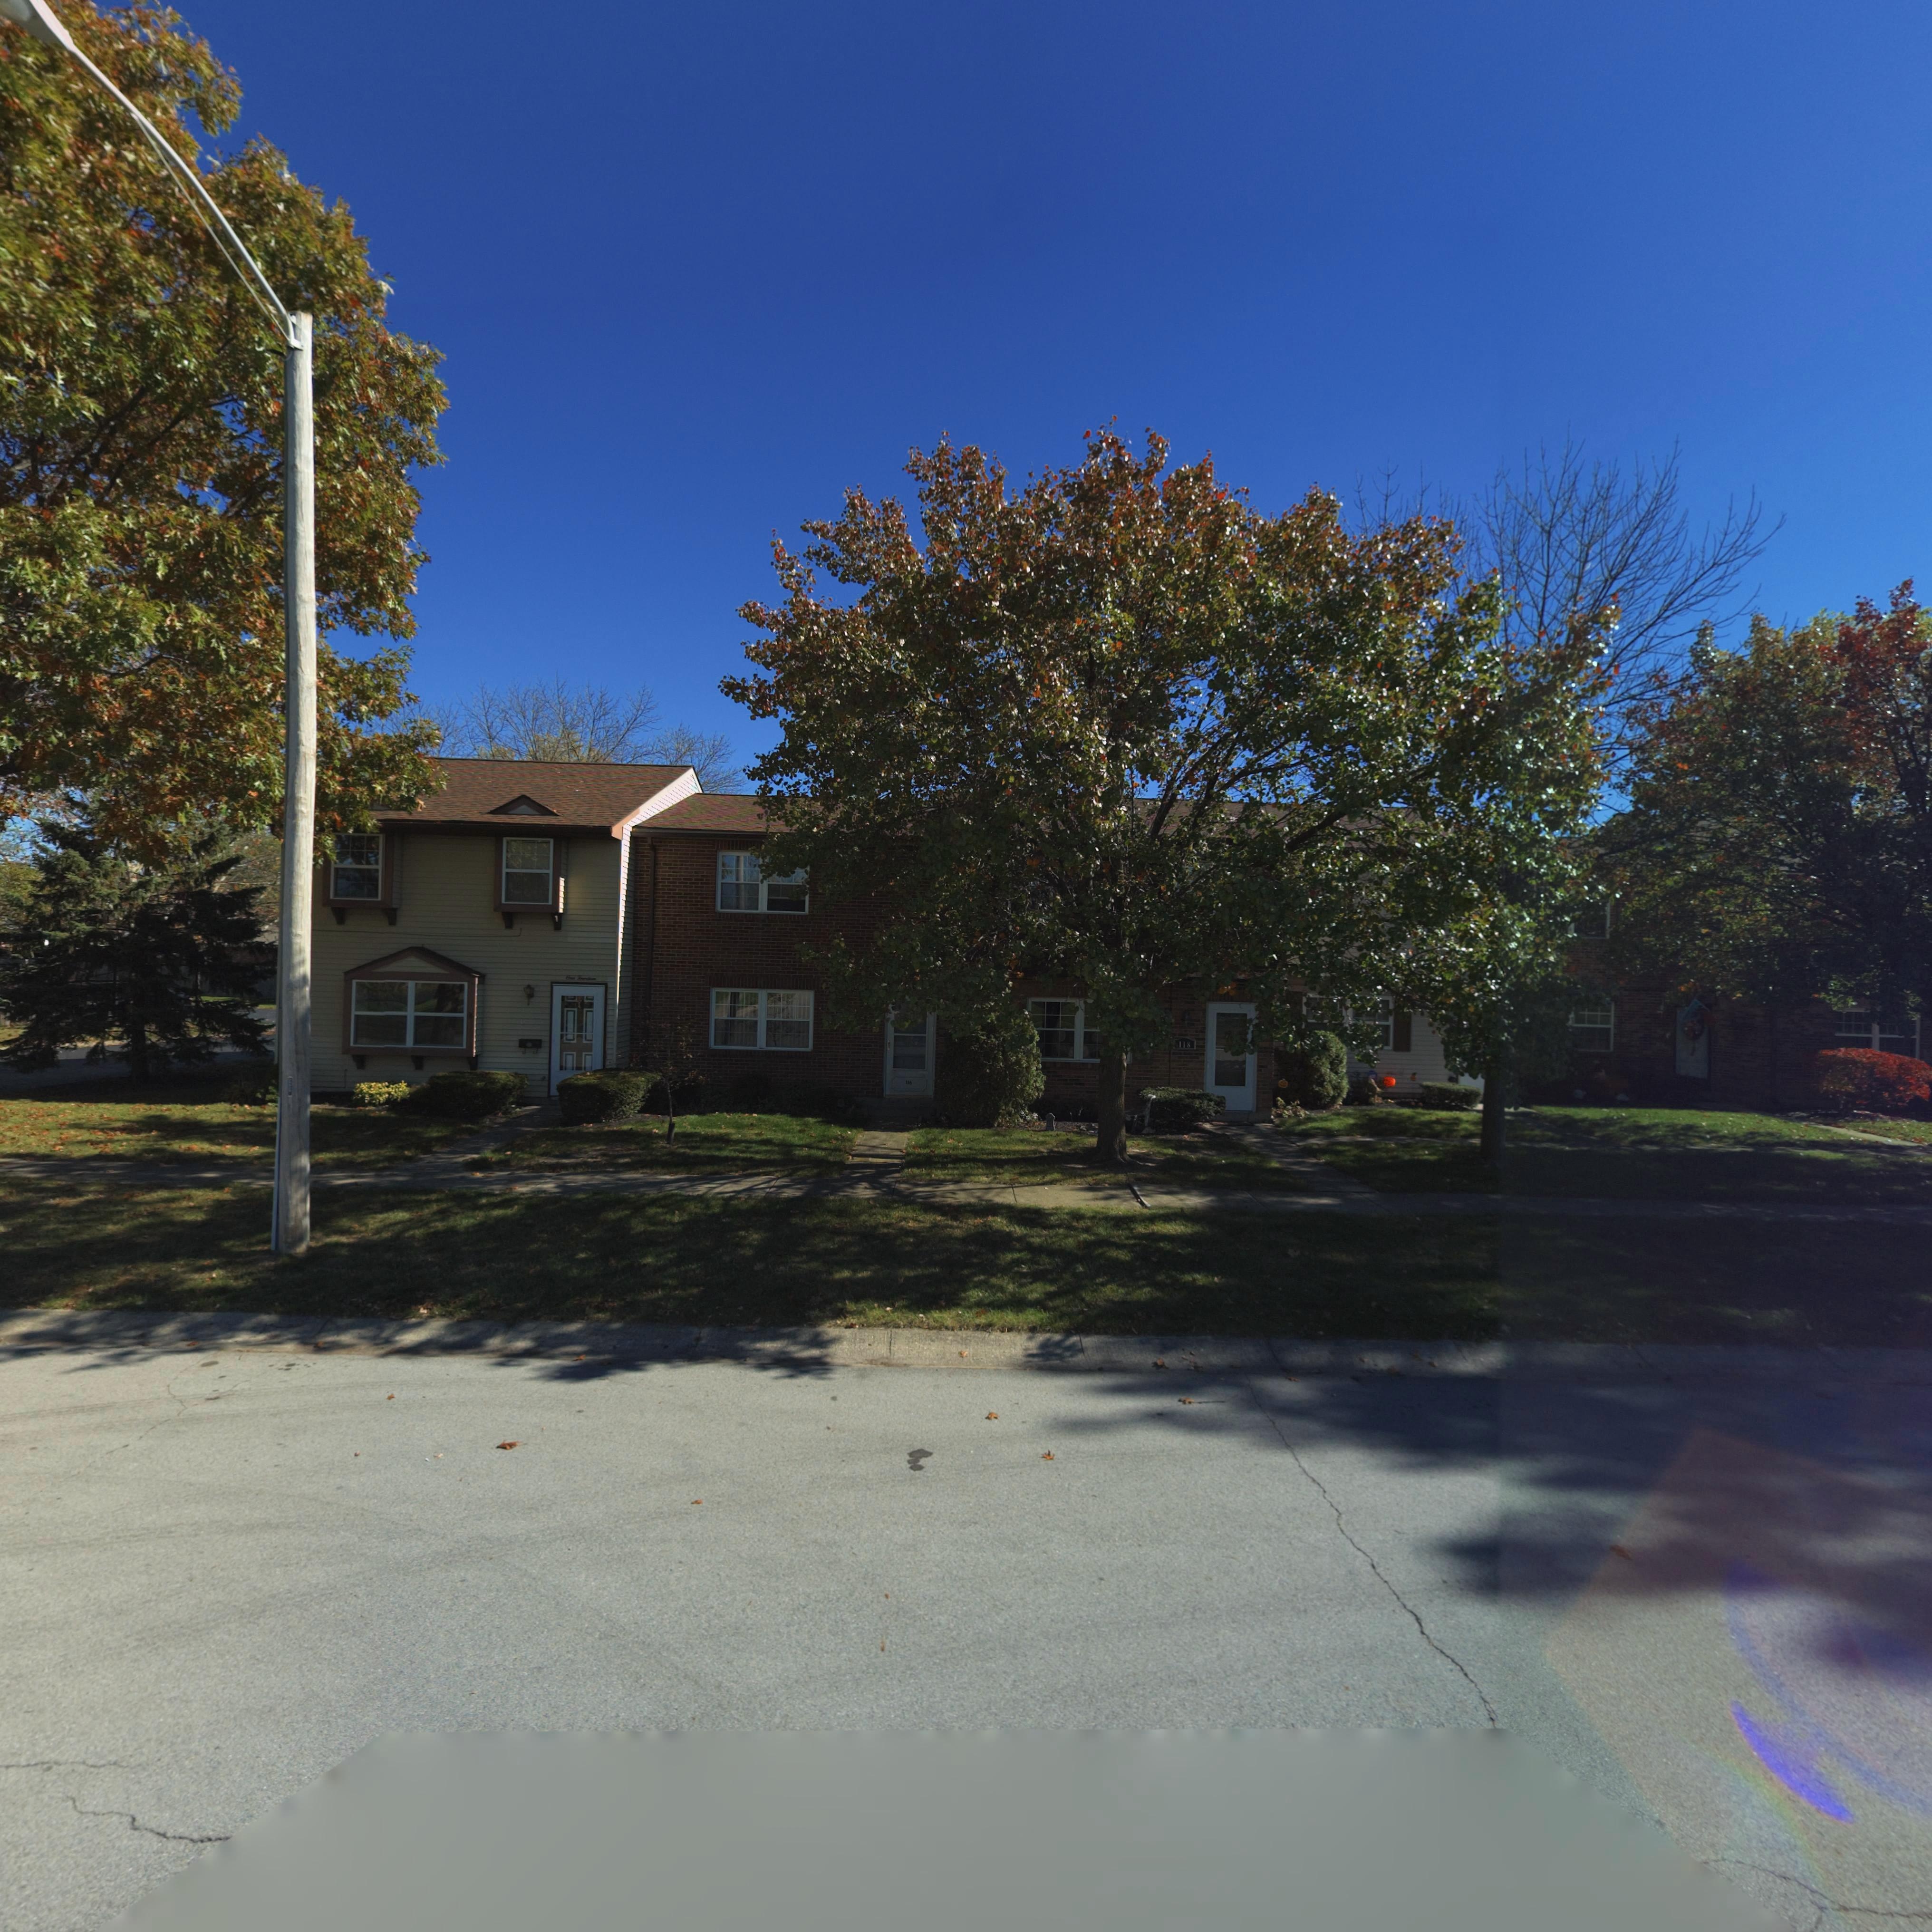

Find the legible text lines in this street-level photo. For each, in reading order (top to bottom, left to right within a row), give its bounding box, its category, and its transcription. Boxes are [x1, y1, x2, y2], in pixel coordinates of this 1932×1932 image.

[1177, 1040, 1192, 1049] StreetNumber: 118
[905, 1079, 913, 1086] StreetNumber: 116